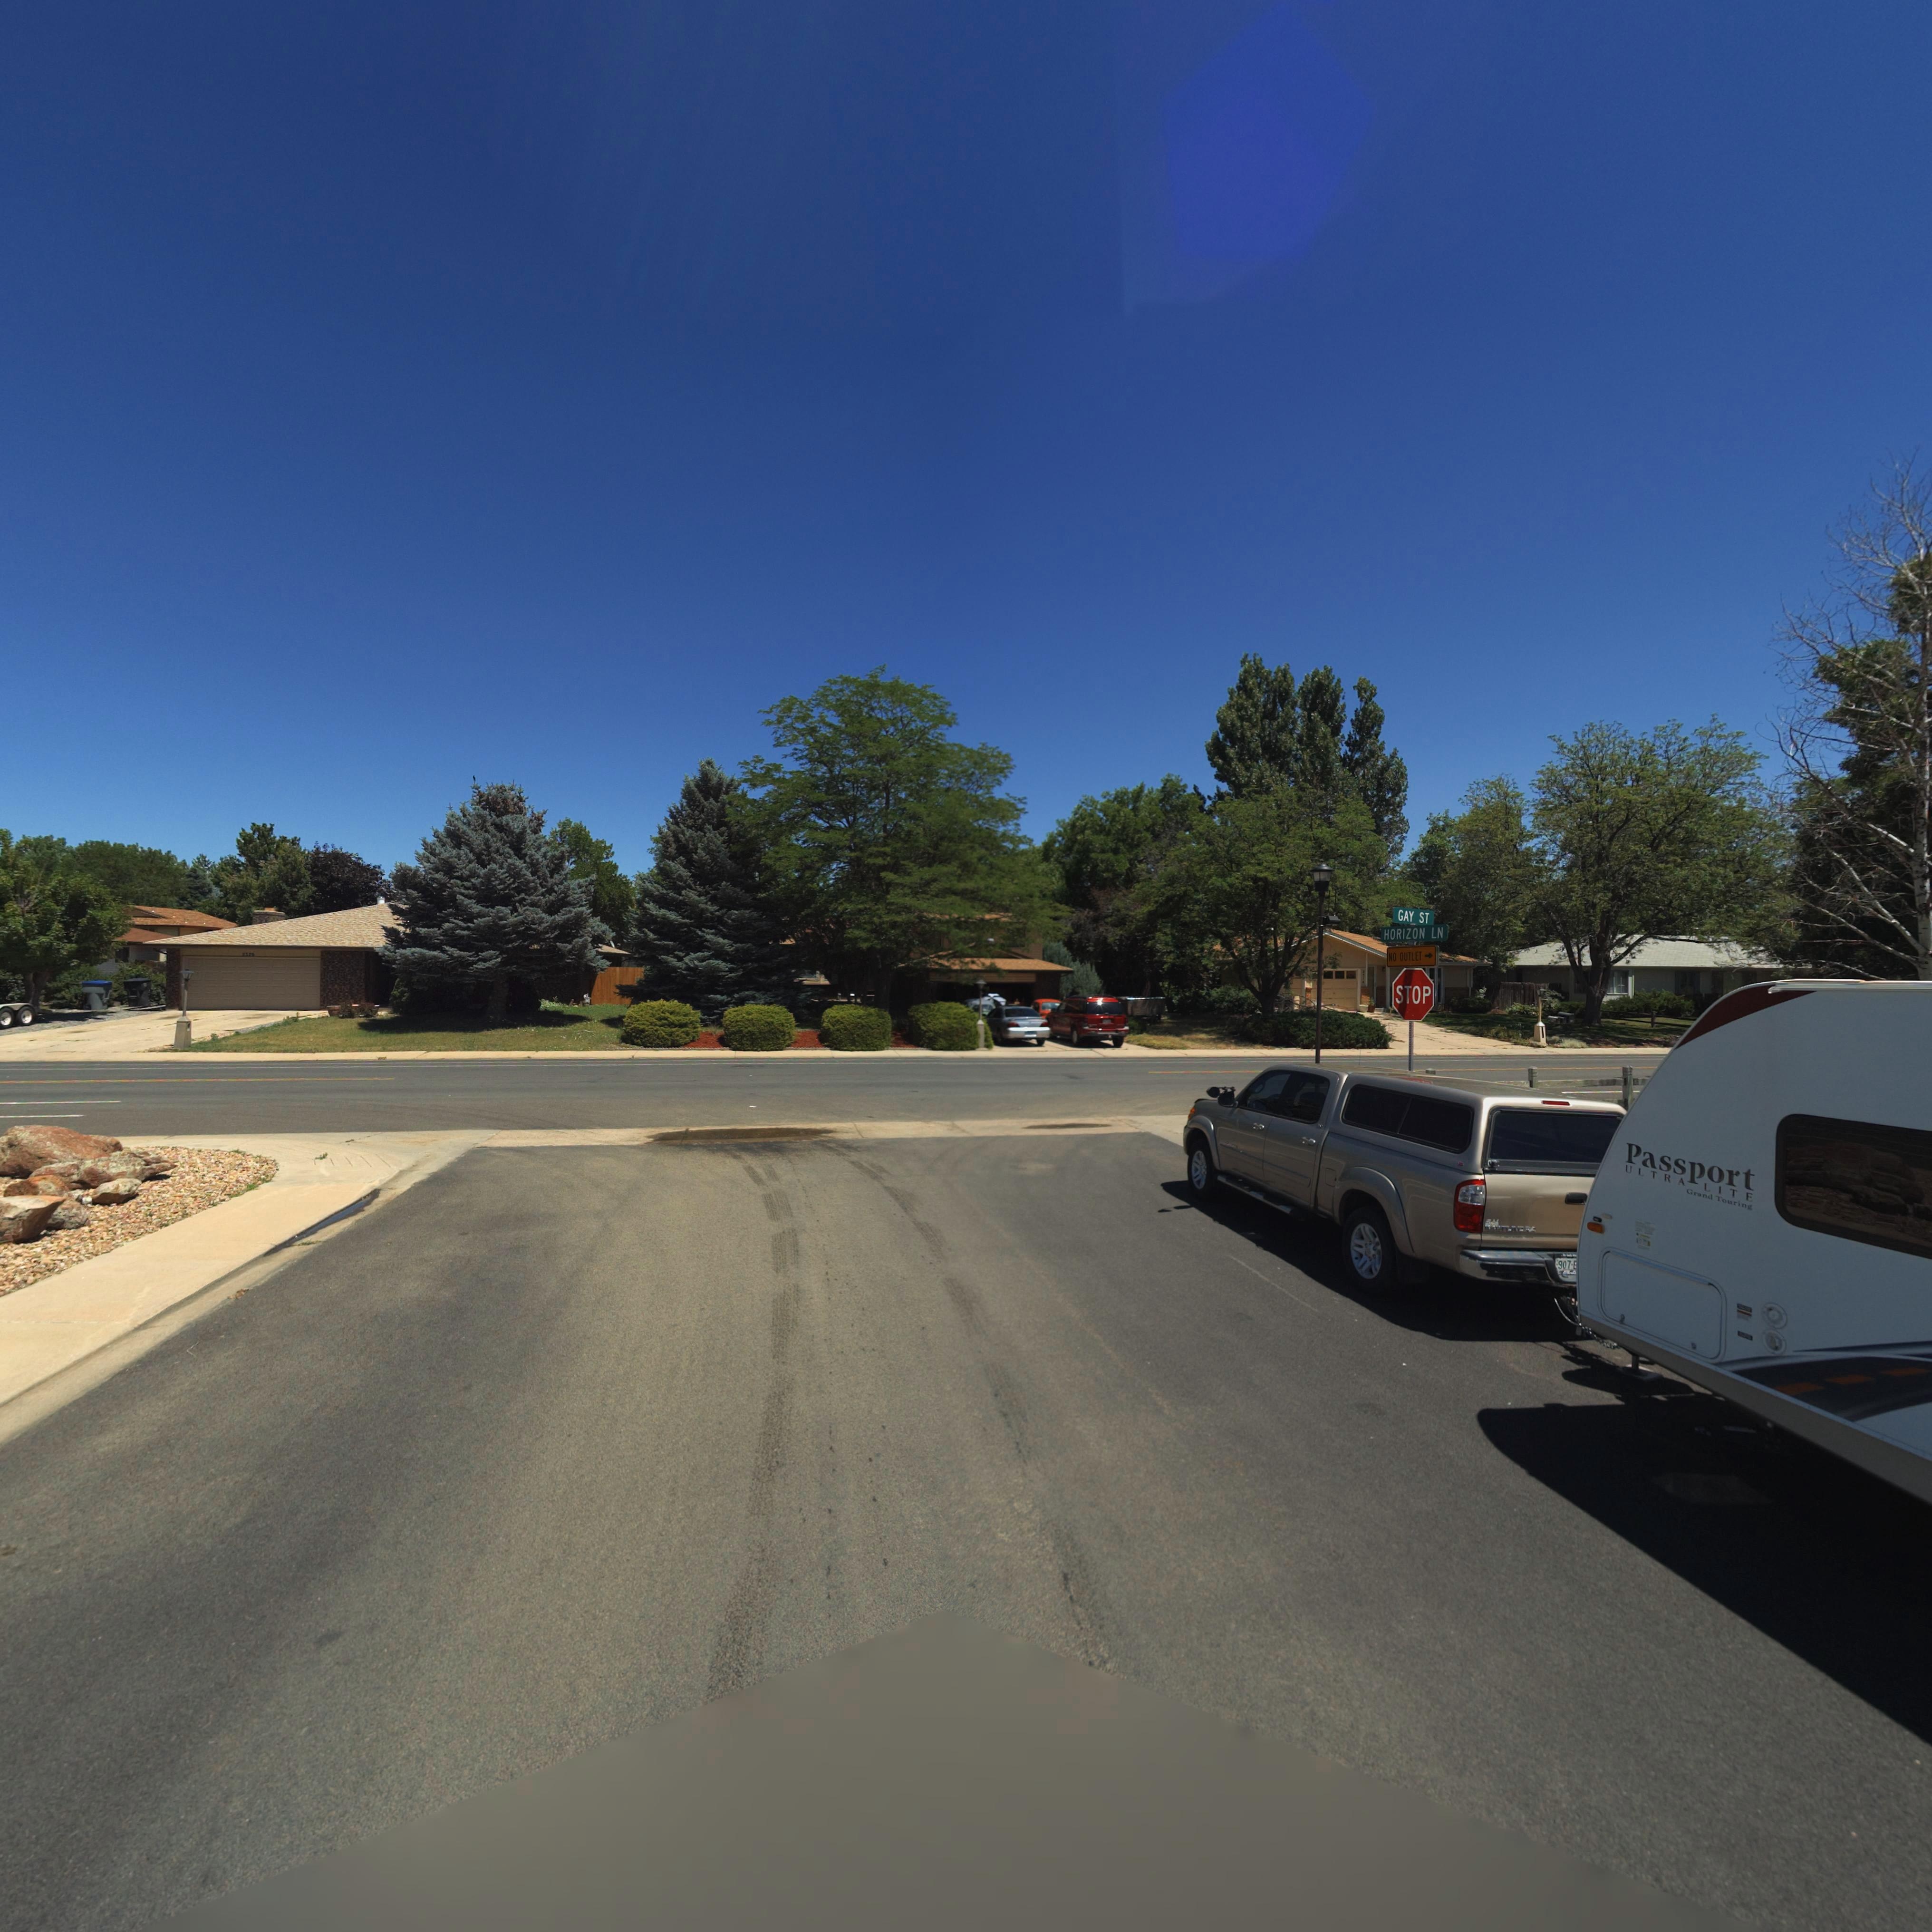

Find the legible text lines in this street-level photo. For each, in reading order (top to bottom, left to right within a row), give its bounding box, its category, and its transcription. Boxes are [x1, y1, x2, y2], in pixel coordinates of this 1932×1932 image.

[1398, 909, 1429, 924] StreetName: GAY ST
[1383, 927, 1443, 940] StreetName: HORIZON LN 
[242, 952, 254, 956] StreetNumber: 23*6